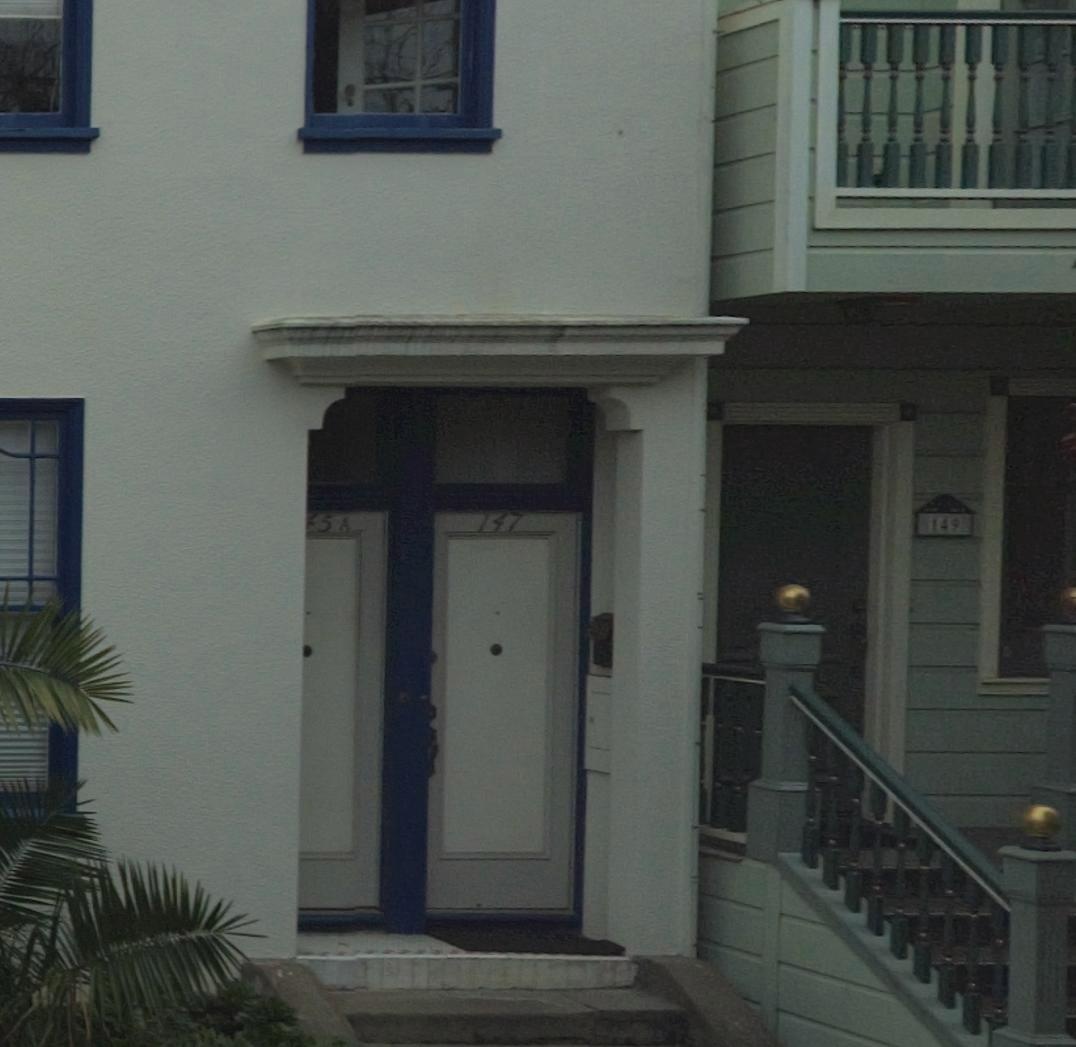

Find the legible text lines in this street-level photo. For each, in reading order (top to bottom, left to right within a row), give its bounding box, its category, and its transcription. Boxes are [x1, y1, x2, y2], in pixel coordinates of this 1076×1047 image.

[313, 514, 352, 533] StreetNumber: 5A
[474, 512, 528, 534] StreetNumber: 147
[930, 515, 962, 534] StreetNumber: 149